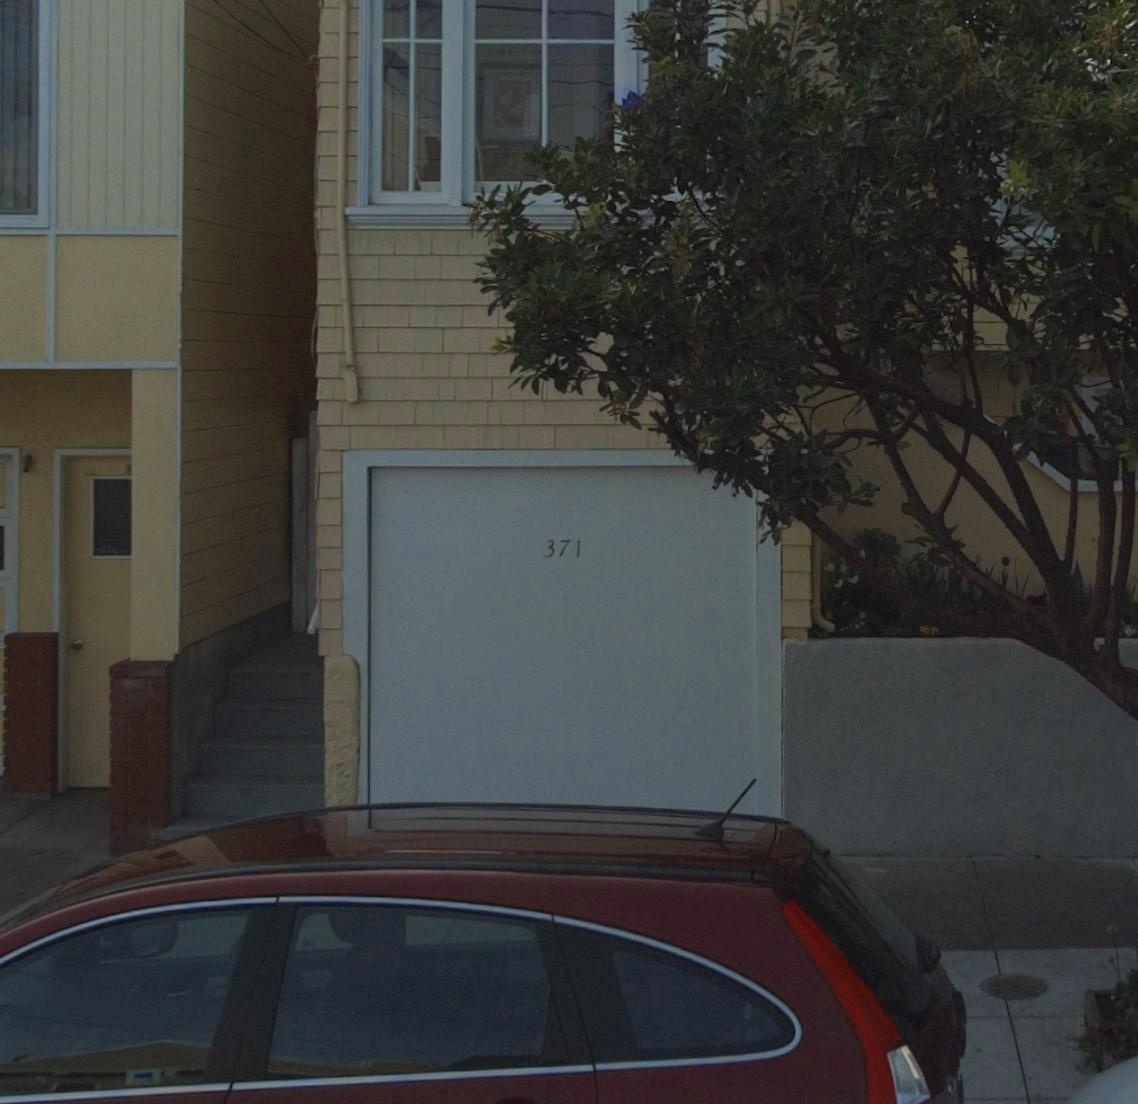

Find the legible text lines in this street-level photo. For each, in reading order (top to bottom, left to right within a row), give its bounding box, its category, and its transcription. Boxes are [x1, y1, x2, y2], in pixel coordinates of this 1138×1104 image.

[543, 537, 583, 559] StreetNumber: 371